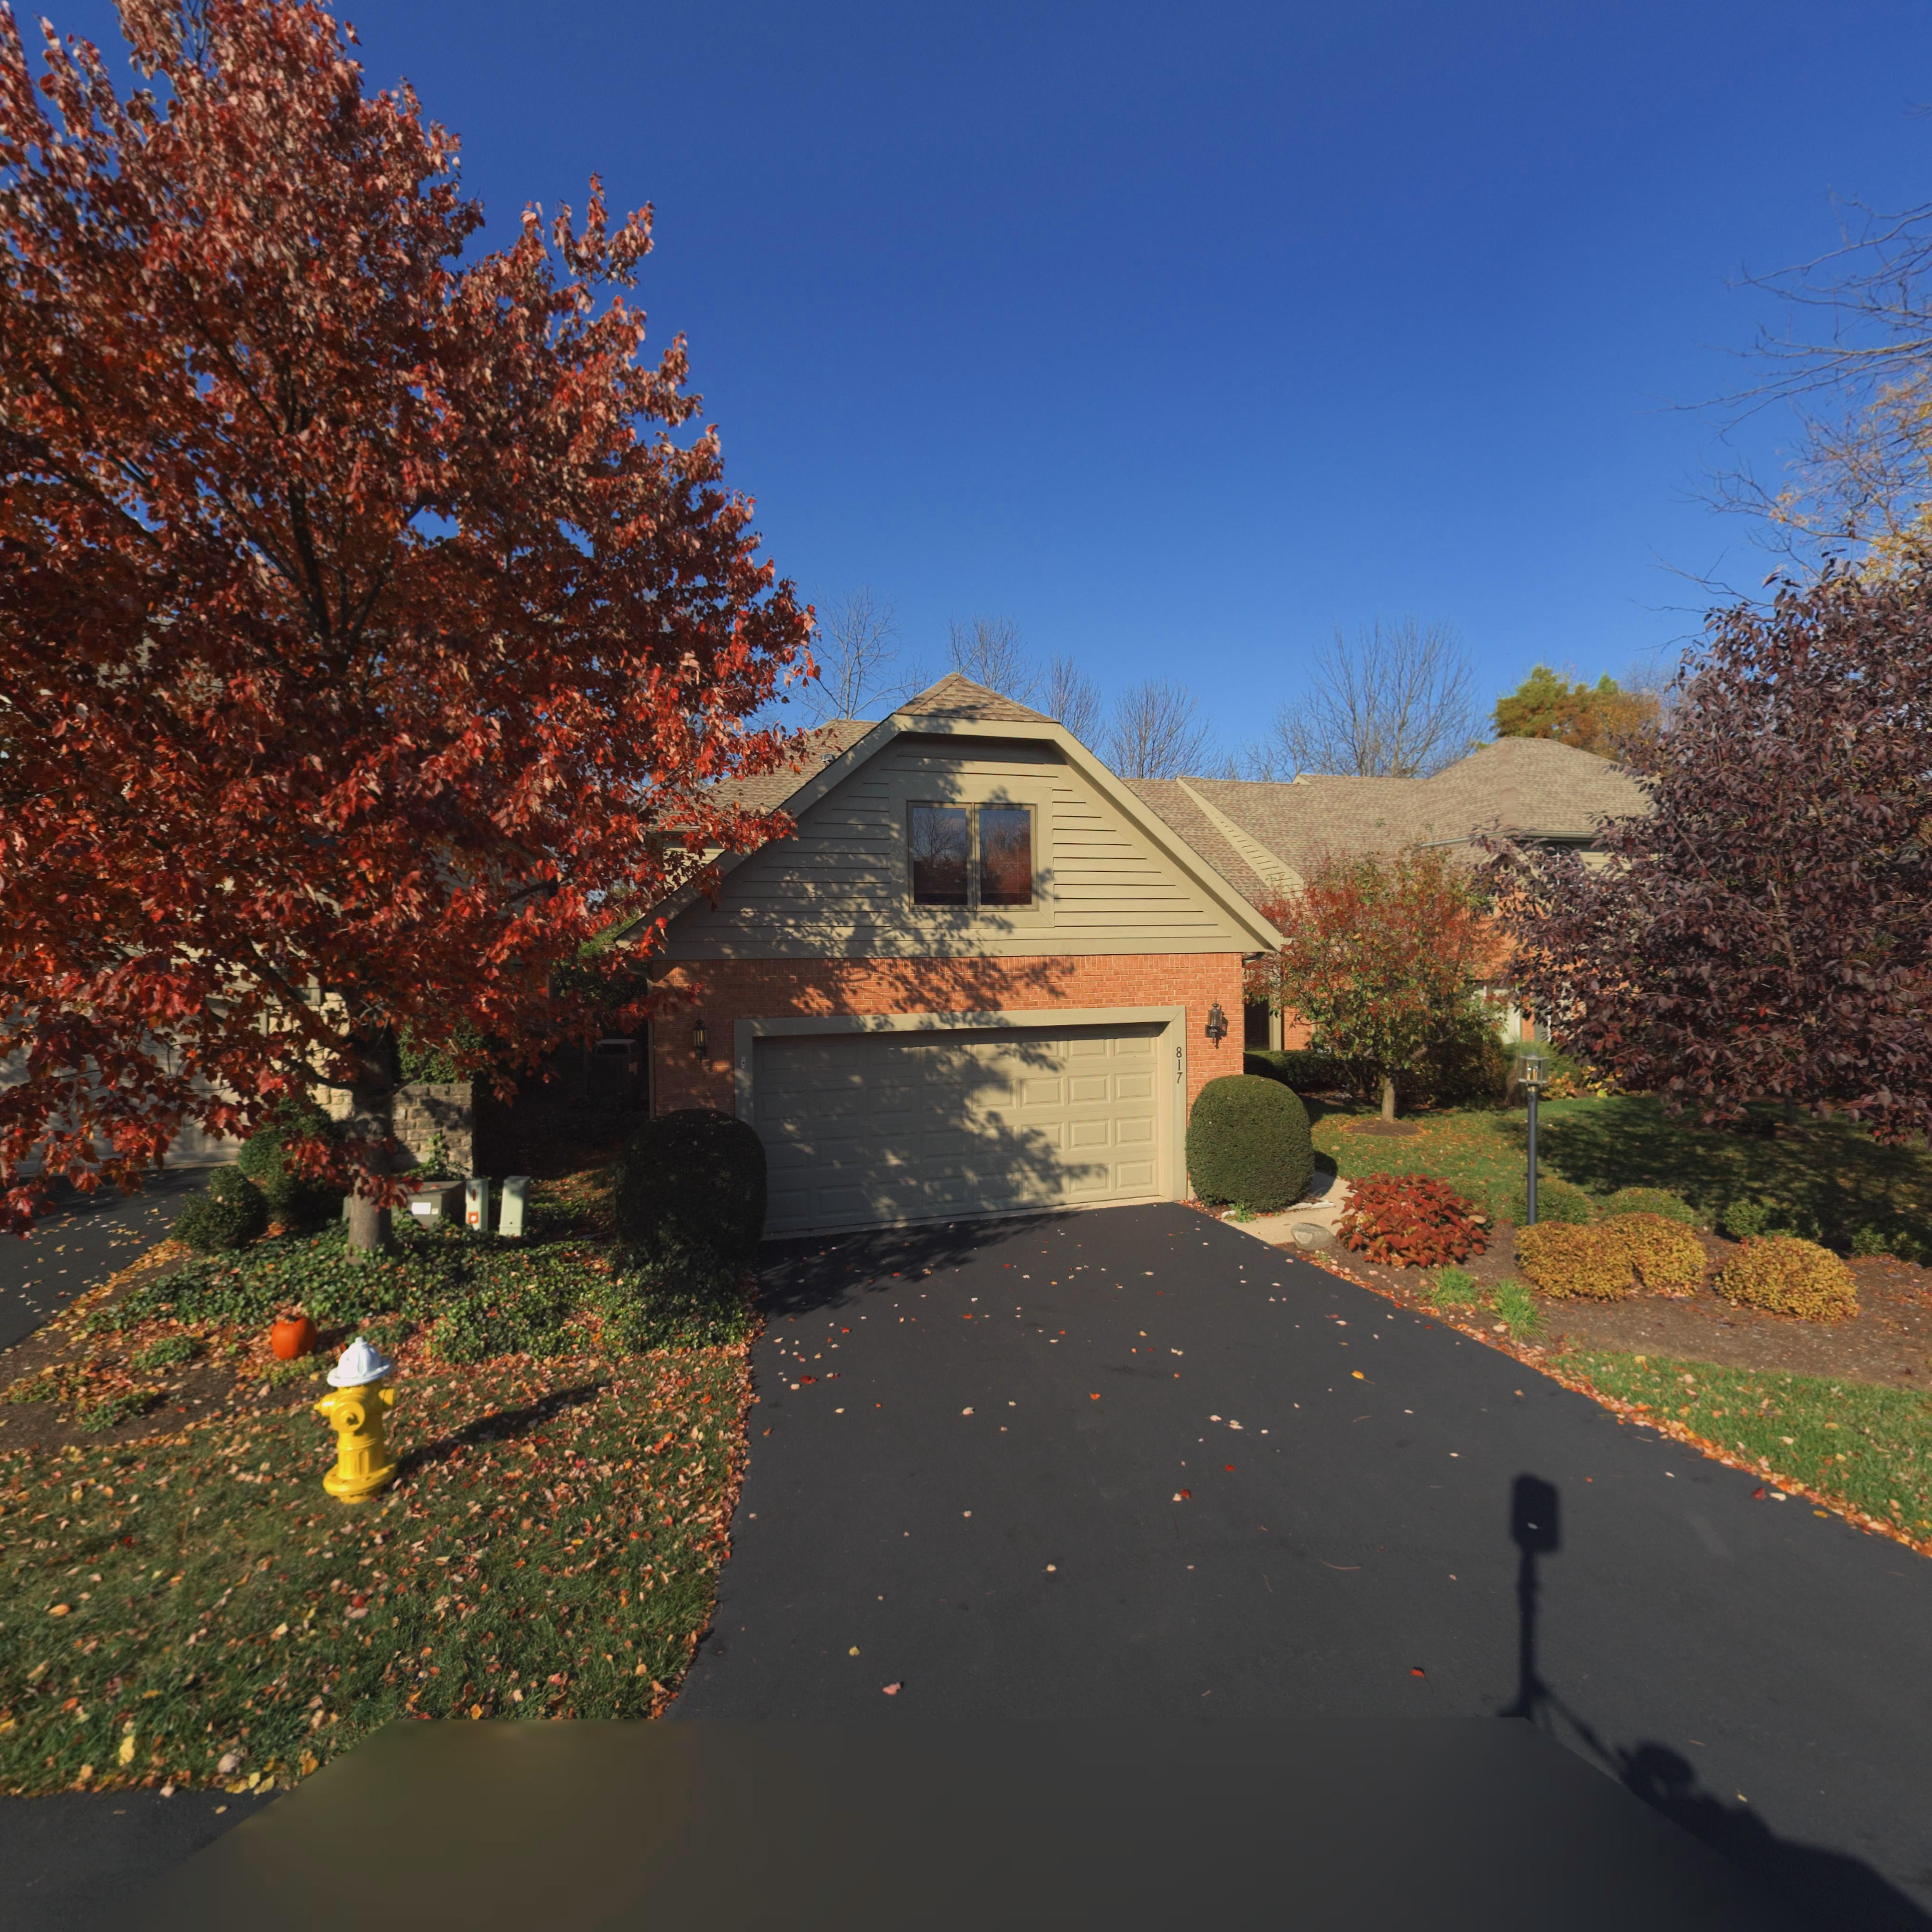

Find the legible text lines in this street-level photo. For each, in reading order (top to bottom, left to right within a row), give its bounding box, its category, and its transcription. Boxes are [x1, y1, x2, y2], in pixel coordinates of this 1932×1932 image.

[1175, 1046, 1184, 1084] StreetNumber: 817